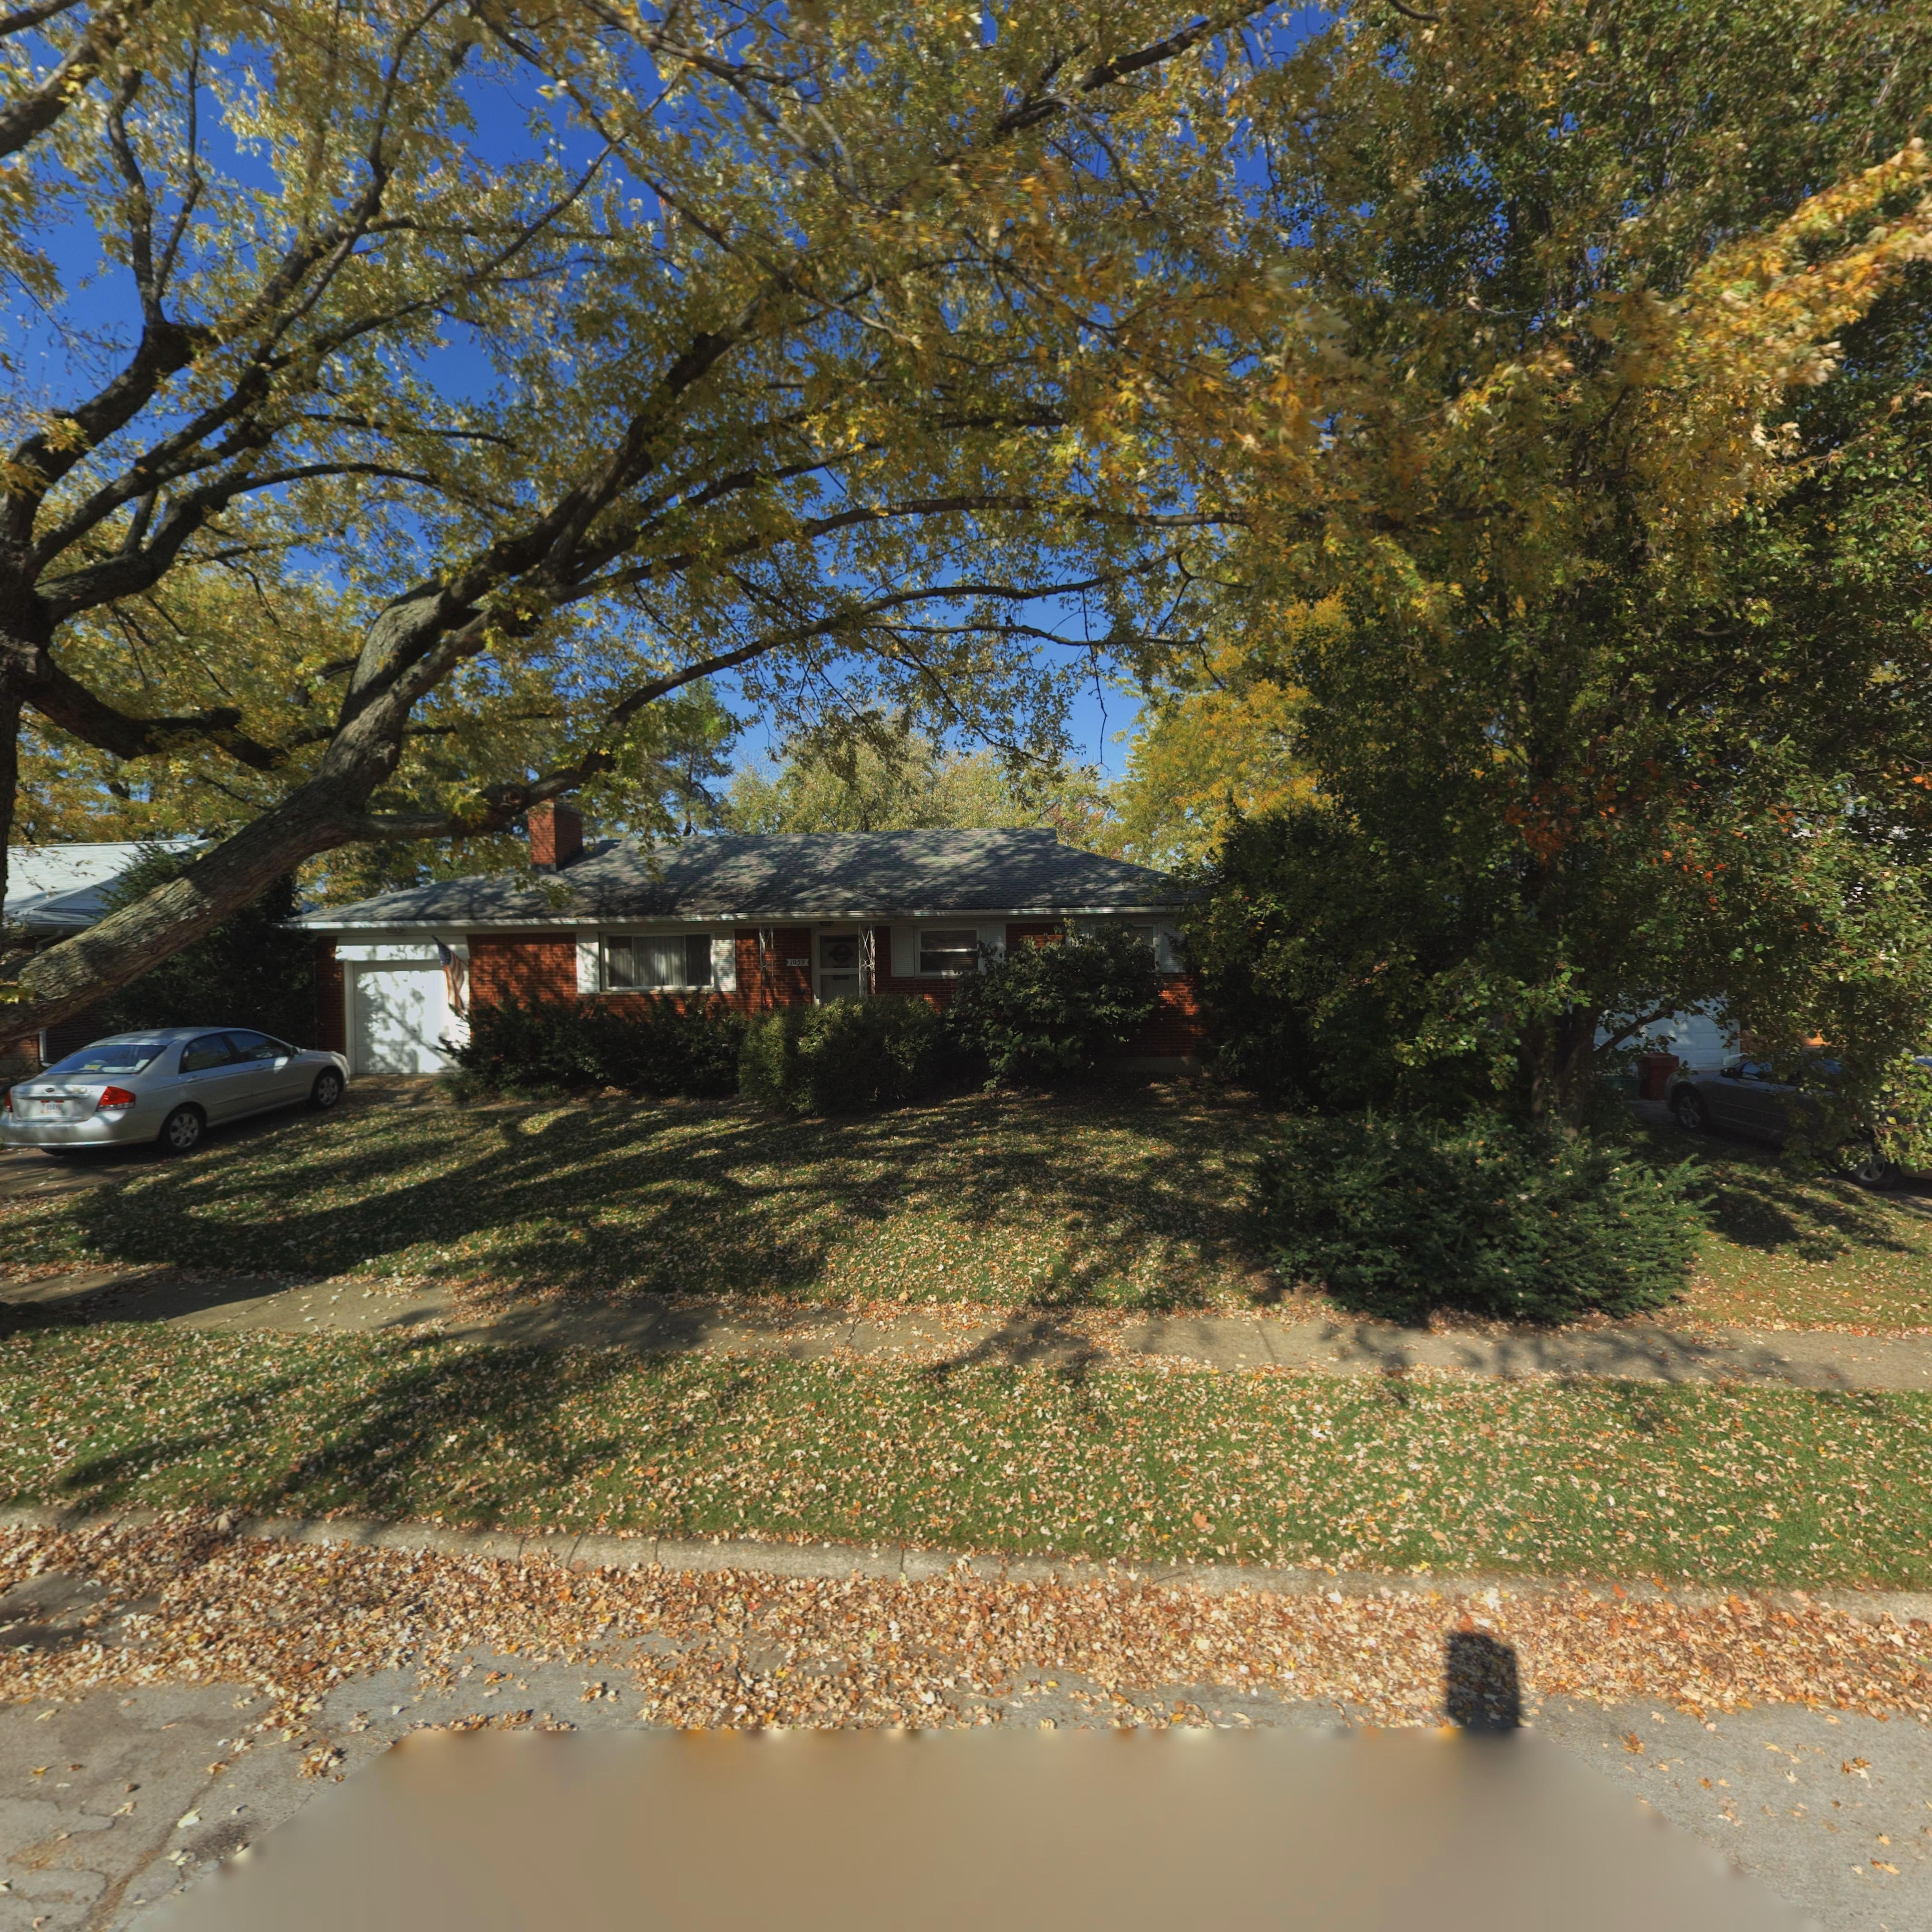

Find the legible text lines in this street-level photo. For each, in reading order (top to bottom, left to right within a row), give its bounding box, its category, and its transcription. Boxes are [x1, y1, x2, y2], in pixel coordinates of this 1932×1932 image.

[790, 959, 805, 965] StreetNumber: 1059